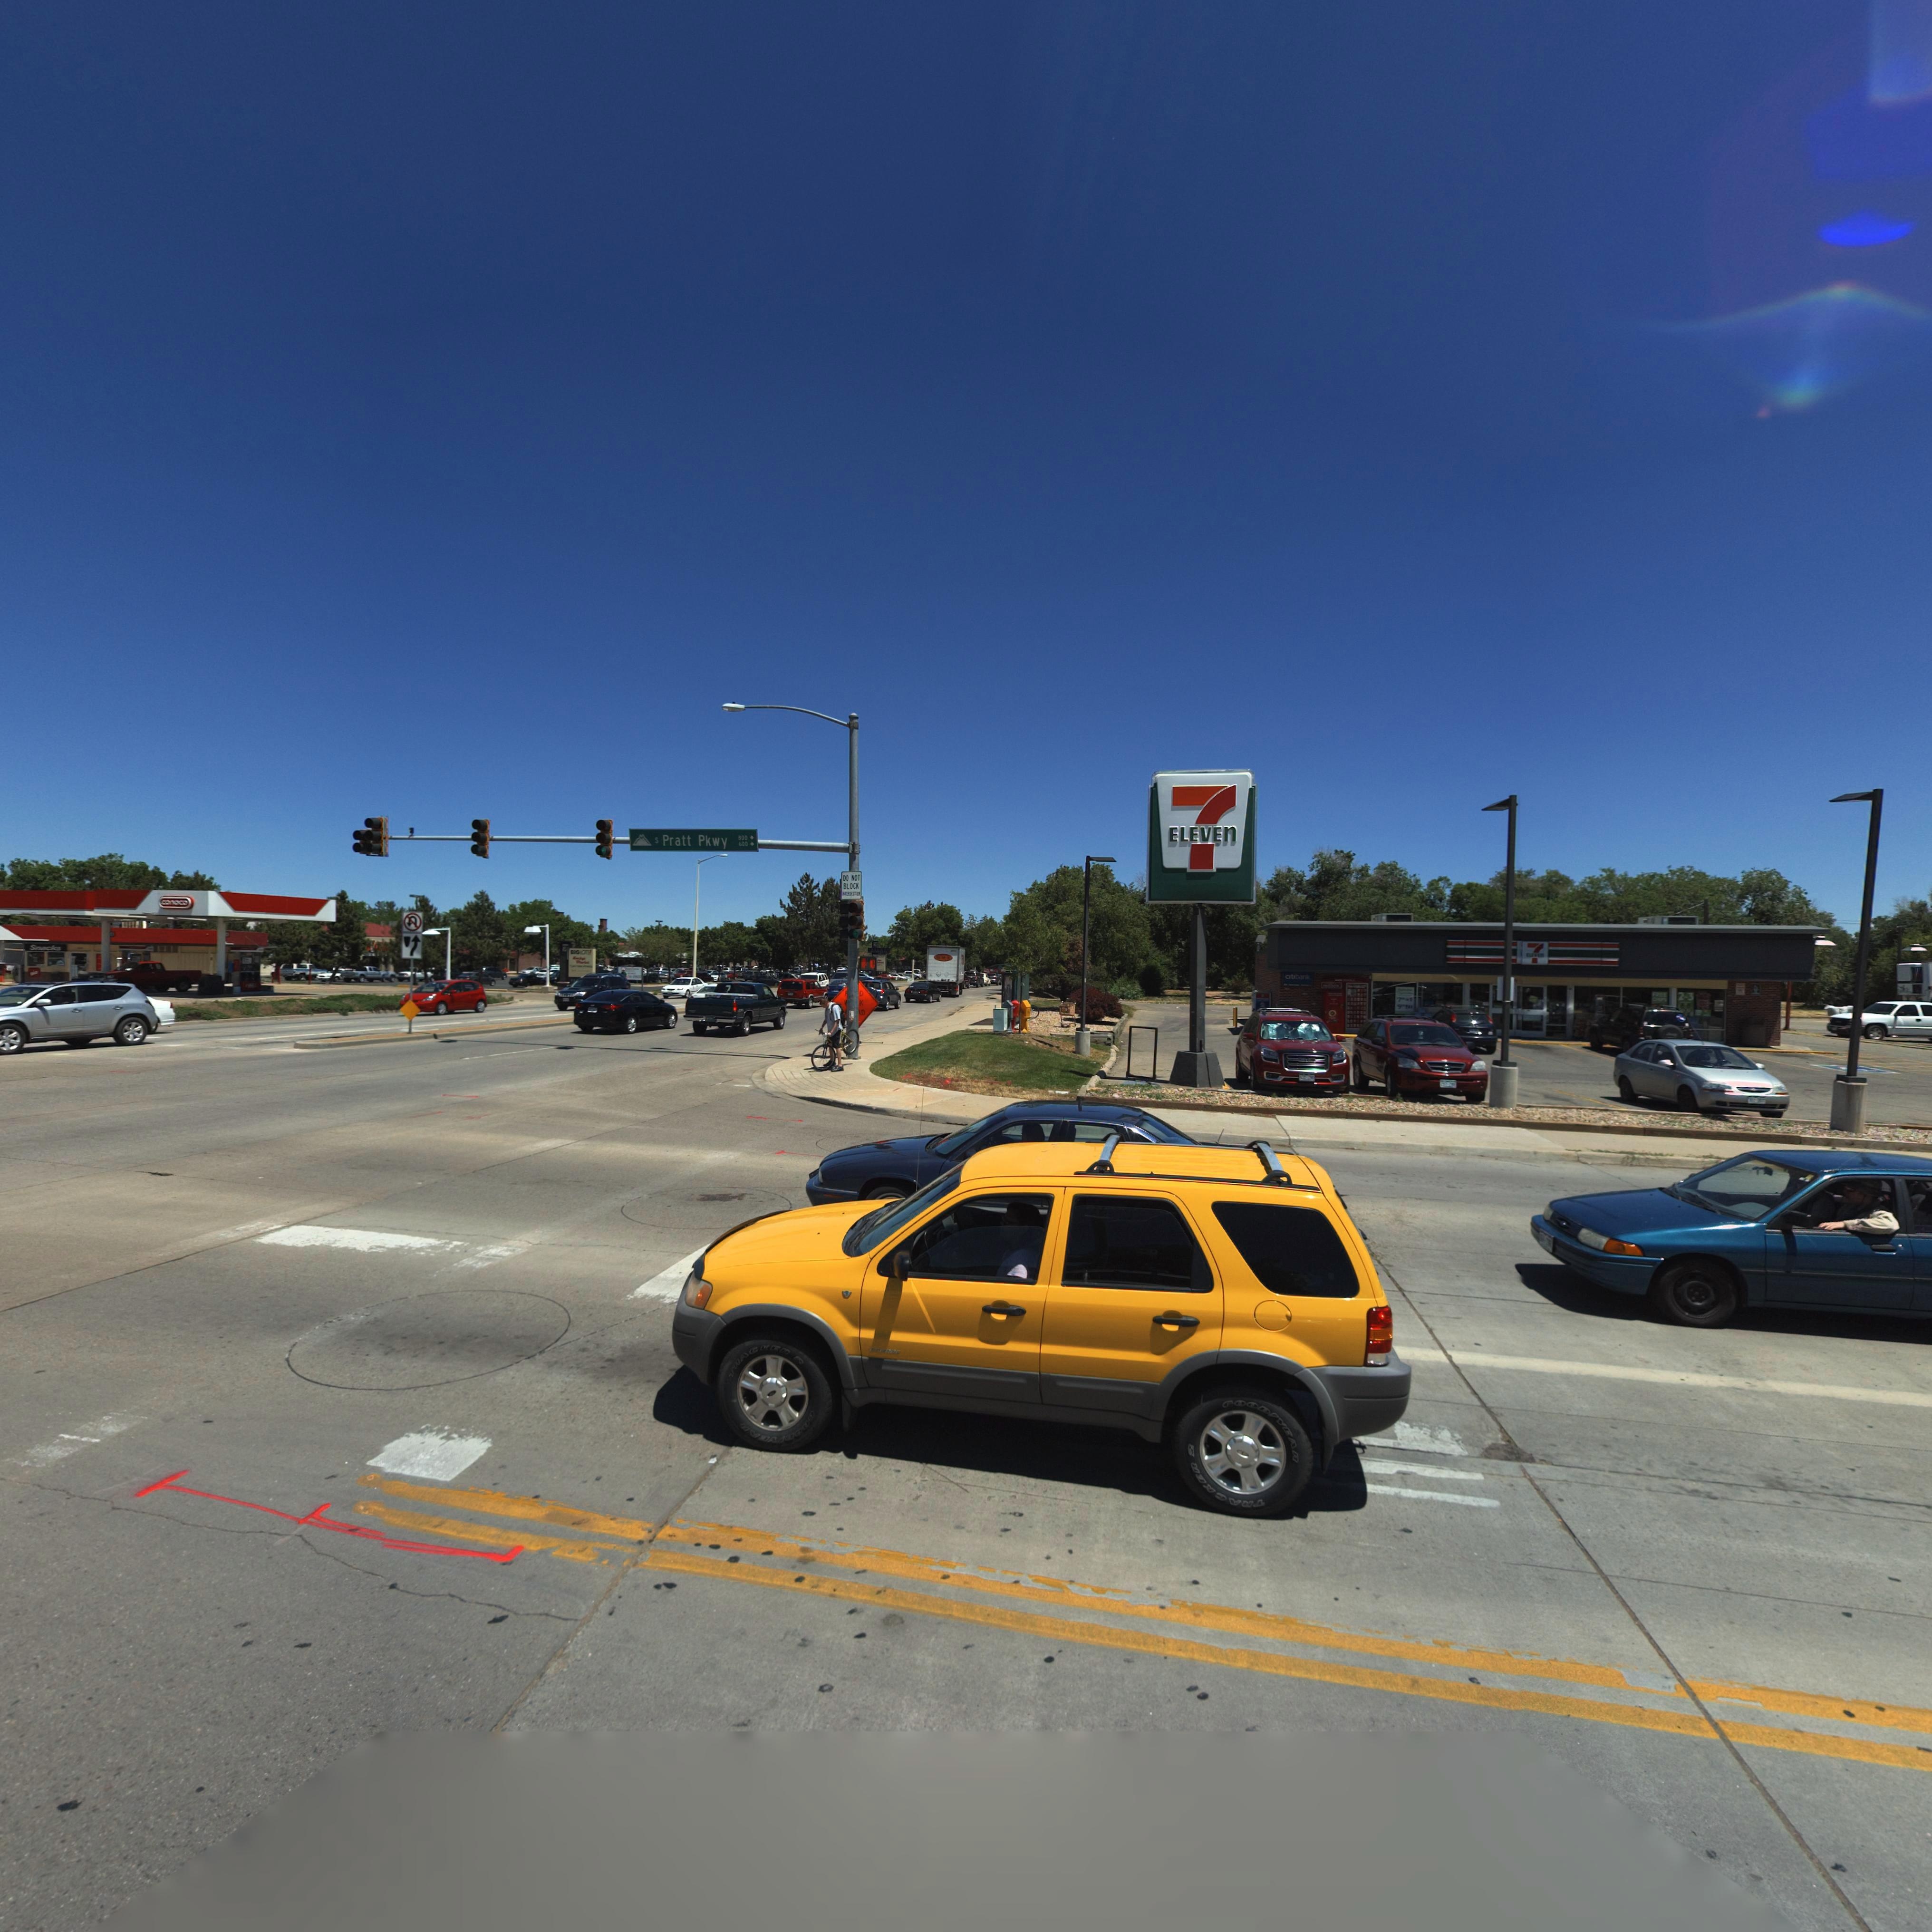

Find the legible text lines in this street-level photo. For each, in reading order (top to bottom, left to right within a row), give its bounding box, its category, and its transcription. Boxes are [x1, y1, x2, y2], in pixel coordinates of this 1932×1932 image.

[655, 834, 728, 850] StreetName: S Pratt Pkwy
[738, 835, 747, 840] StreetNumberRange: 800
[738, 841, 754, 846] StreetNumberRange: 600 ->
[1169, 824, 1237, 842] BusinessName: ELEVEn
[1171, 783, 1237, 870] BusinessName: 7
[161, 899, 188, 905] BusinessName: conoco
[570, 949, 591, 955] BusinessName: BIG *OT**
[1527, 942, 1544, 963] BusinessName: 7